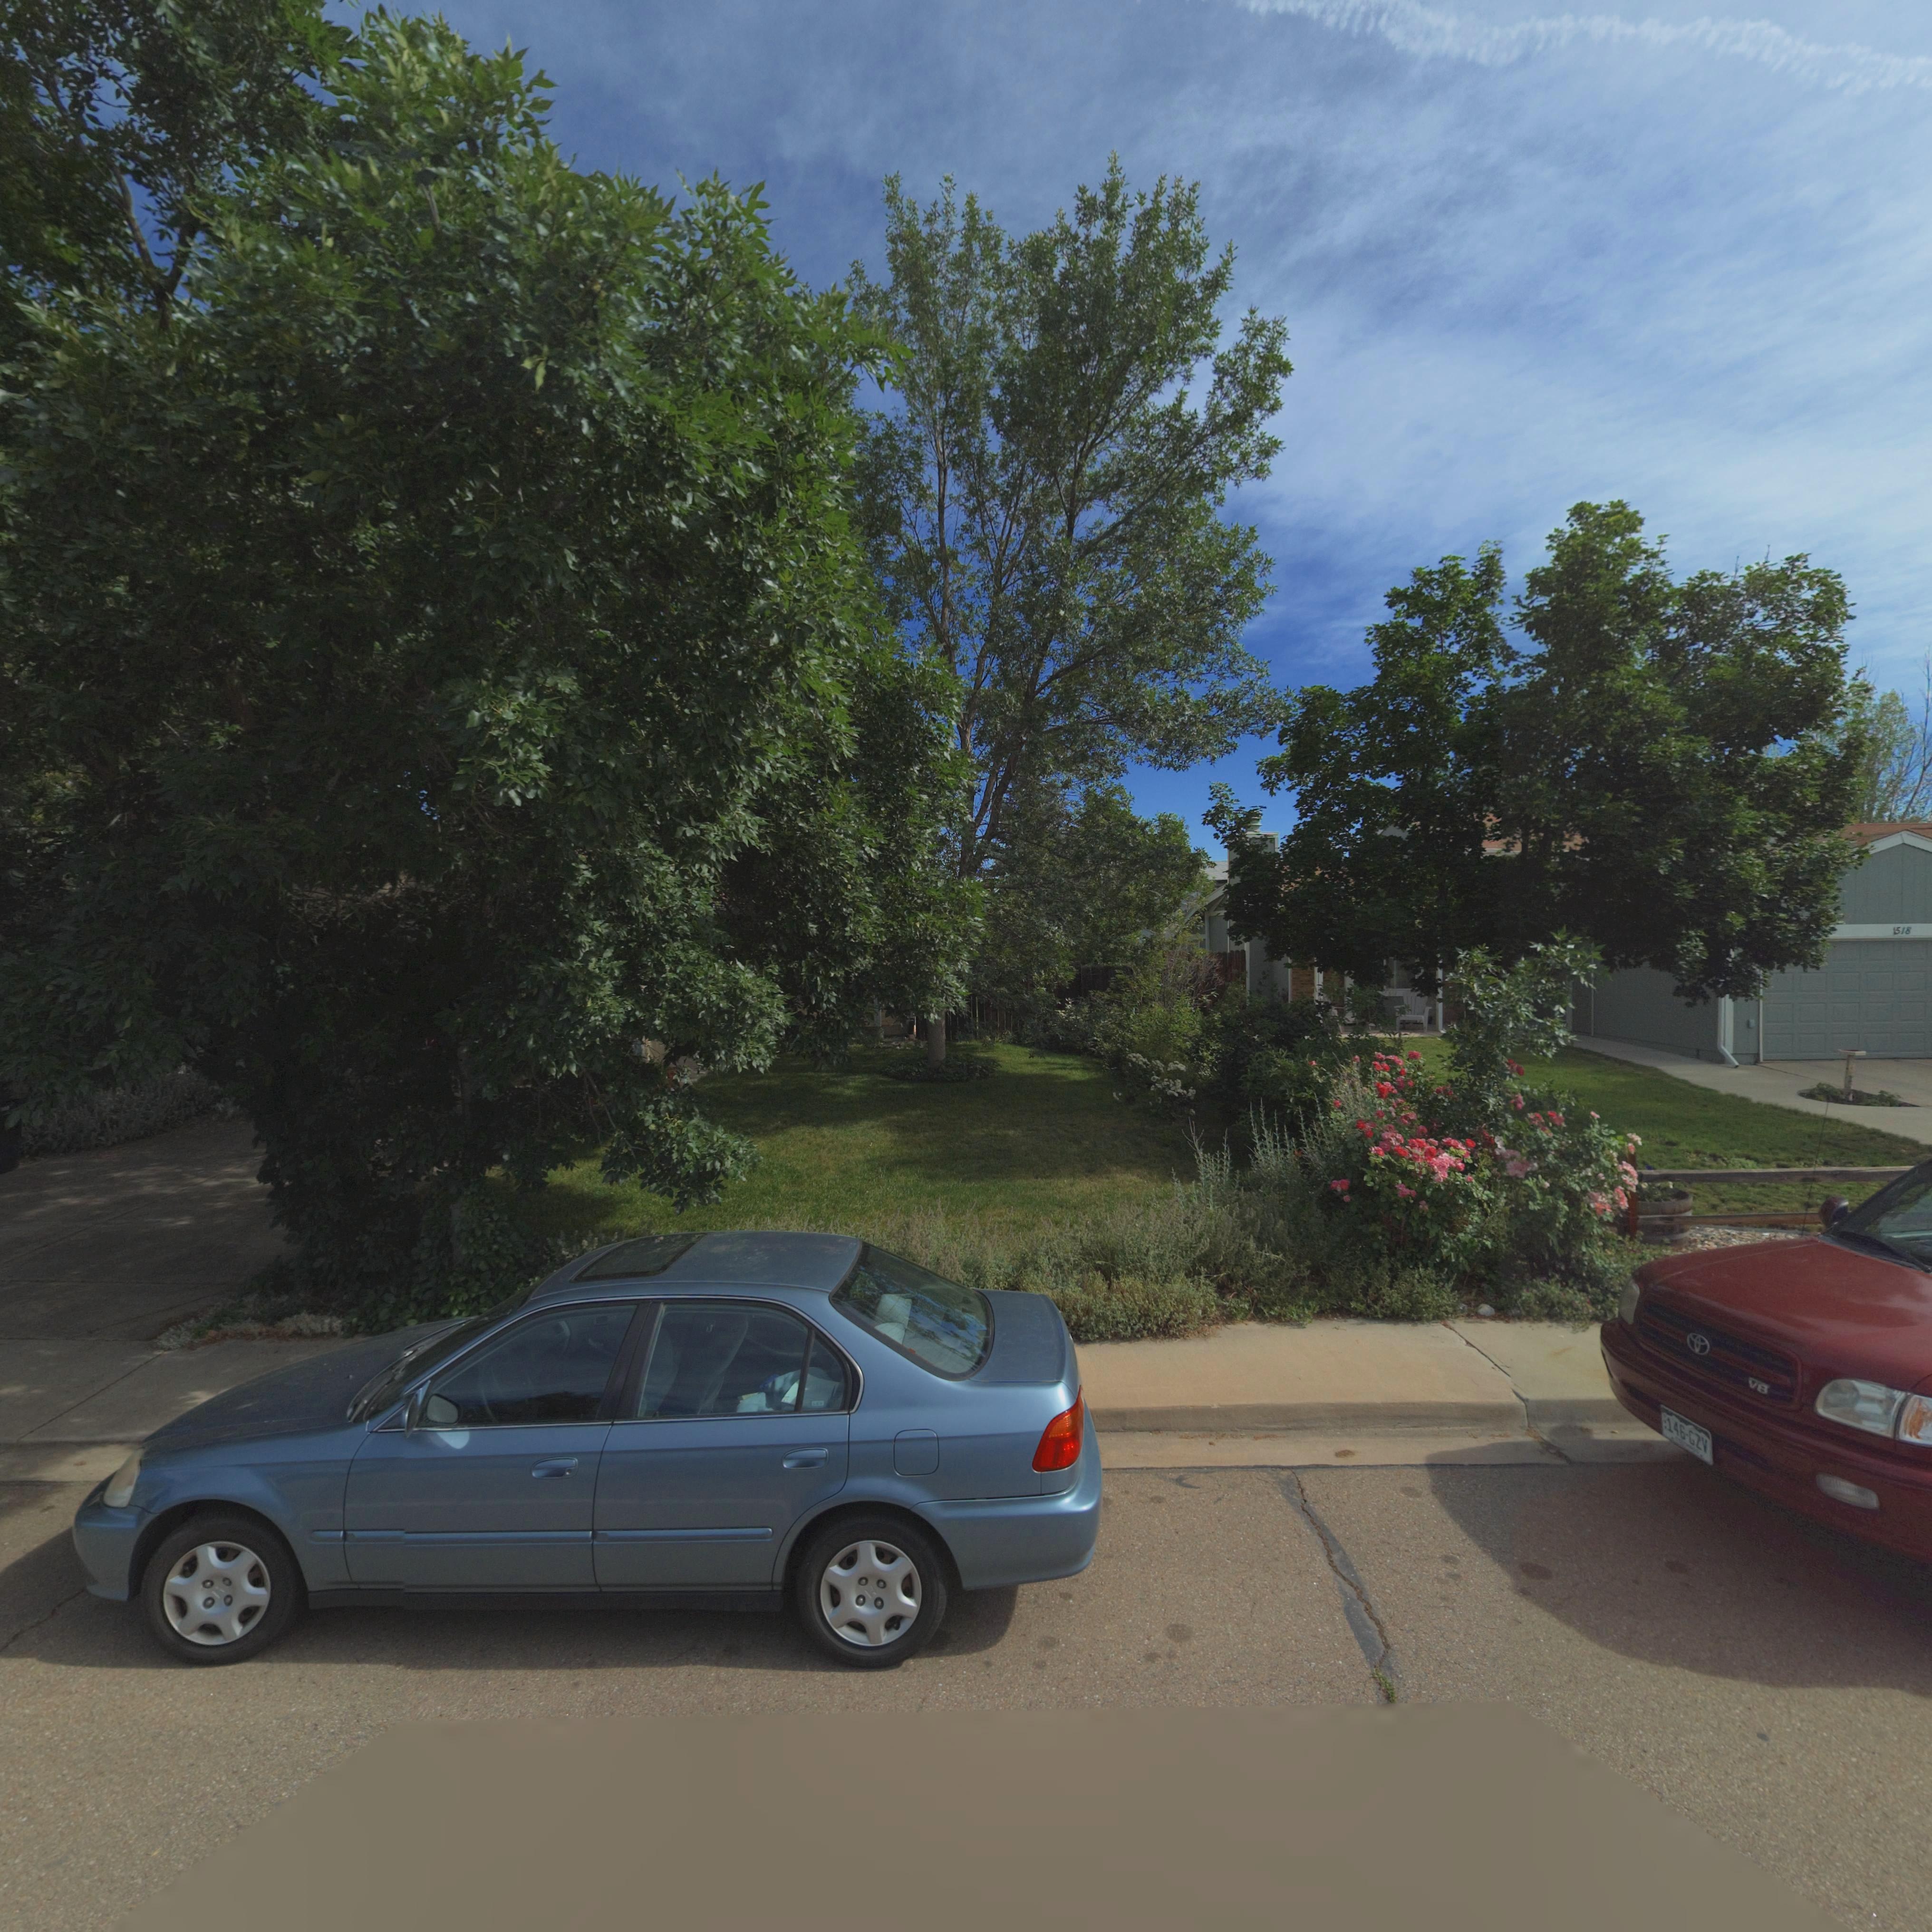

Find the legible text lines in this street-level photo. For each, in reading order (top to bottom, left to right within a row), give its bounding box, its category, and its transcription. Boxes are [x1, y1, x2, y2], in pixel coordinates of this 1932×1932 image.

[1893, 926, 1912, 936] StreetNumber: 1518